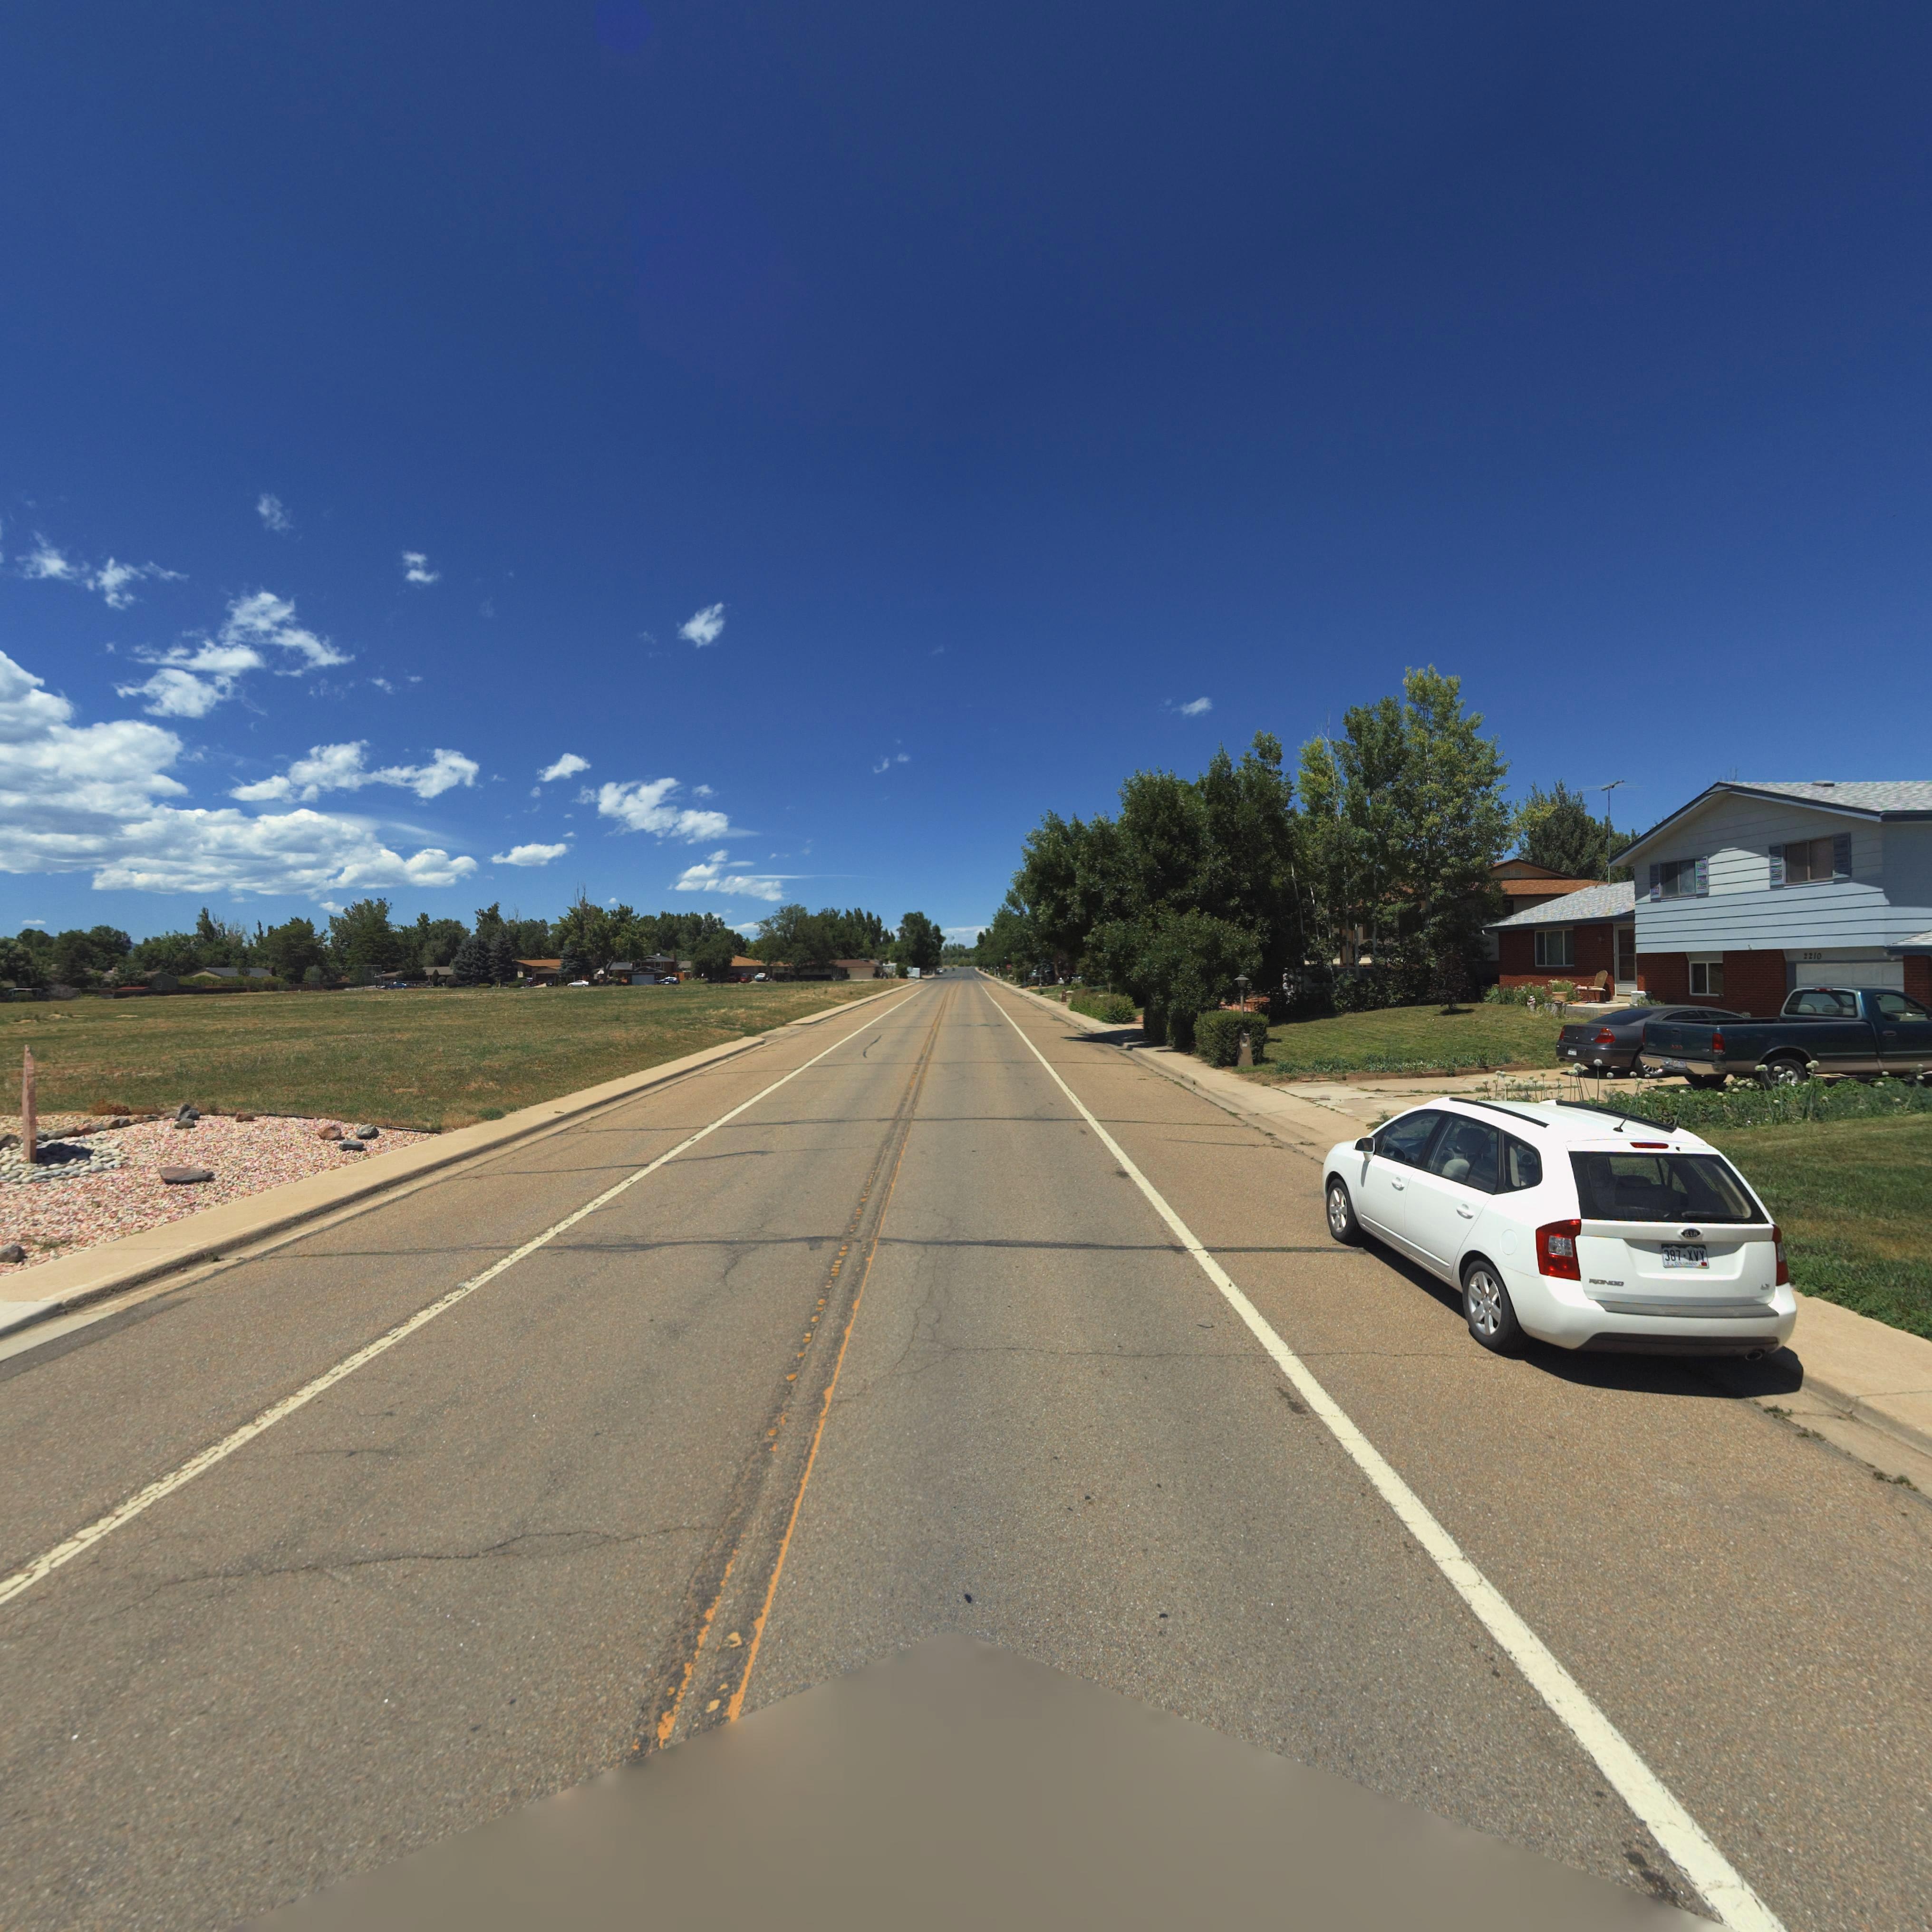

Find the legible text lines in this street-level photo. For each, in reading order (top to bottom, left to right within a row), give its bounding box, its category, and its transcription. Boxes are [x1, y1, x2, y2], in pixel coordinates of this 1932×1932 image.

[1804, 952, 1822, 959] StreetNumber: 2210